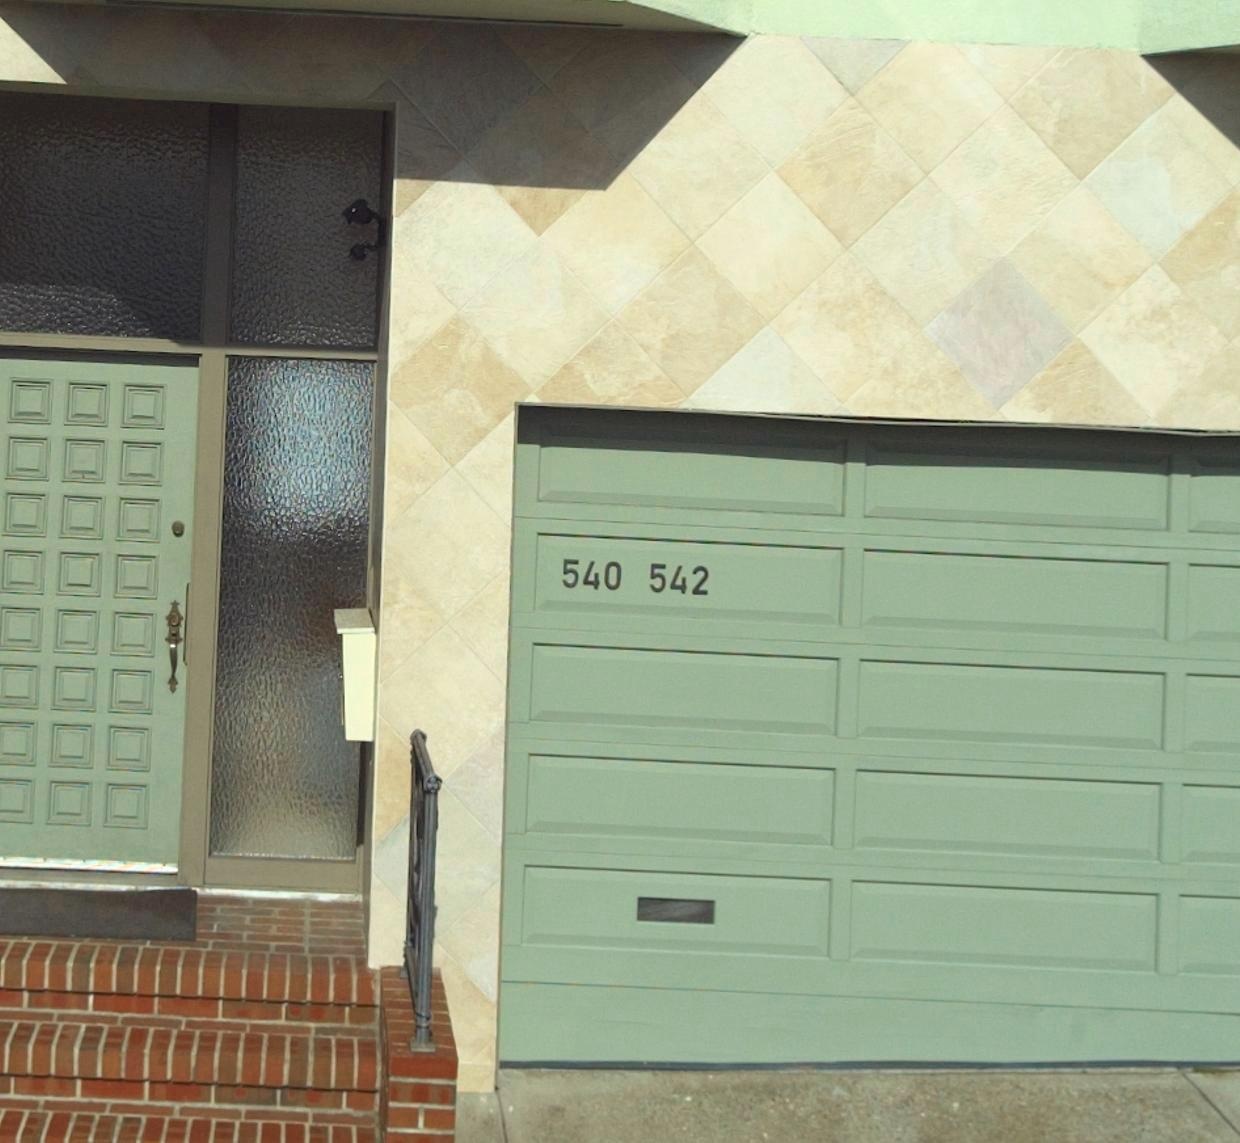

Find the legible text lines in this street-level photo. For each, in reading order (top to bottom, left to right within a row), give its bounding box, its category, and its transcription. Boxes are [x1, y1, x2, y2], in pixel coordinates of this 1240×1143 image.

[558, 556, 623, 592] StreetNumber: 540
[647, 561, 709, 596] StreetNumber: 542